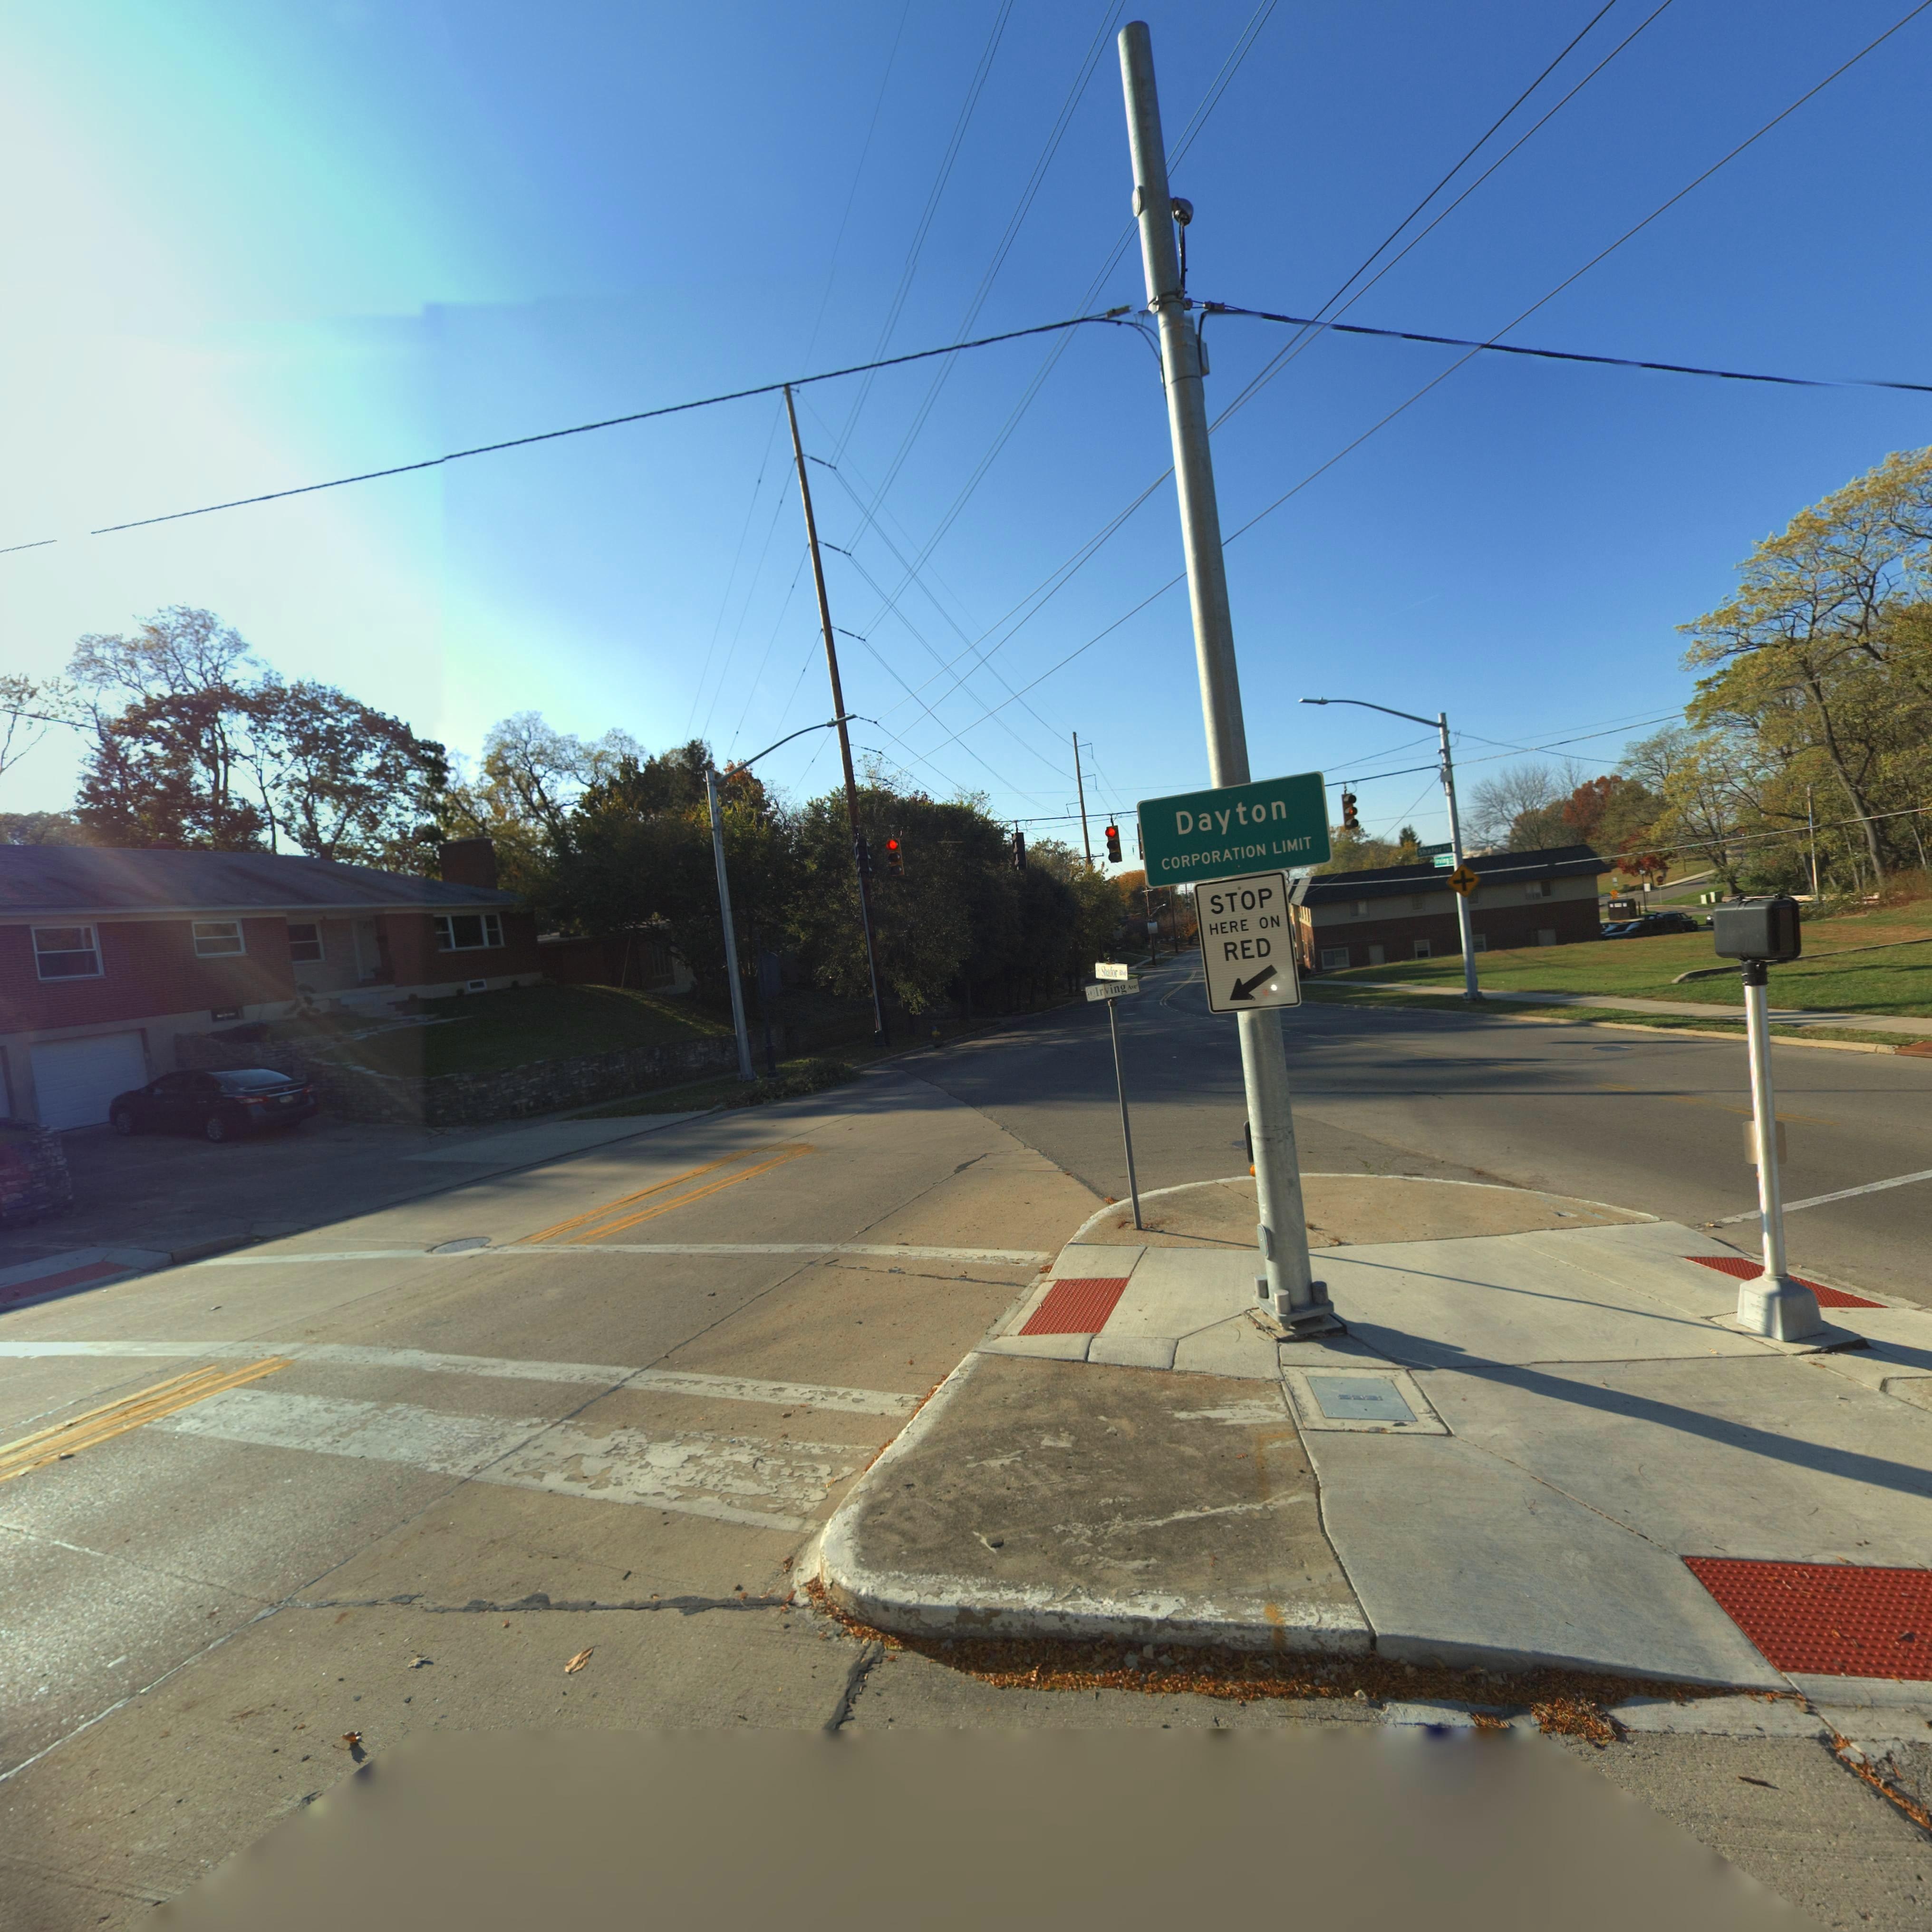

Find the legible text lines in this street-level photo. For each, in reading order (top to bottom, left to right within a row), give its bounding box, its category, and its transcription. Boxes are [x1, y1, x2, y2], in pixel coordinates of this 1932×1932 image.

[1417, 846, 1442, 856] StreetName: Shafor
[1100, 965, 1119, 978] StreetName: Shafor
[1094, 983, 1138, 997] StreetName: Irving Ave